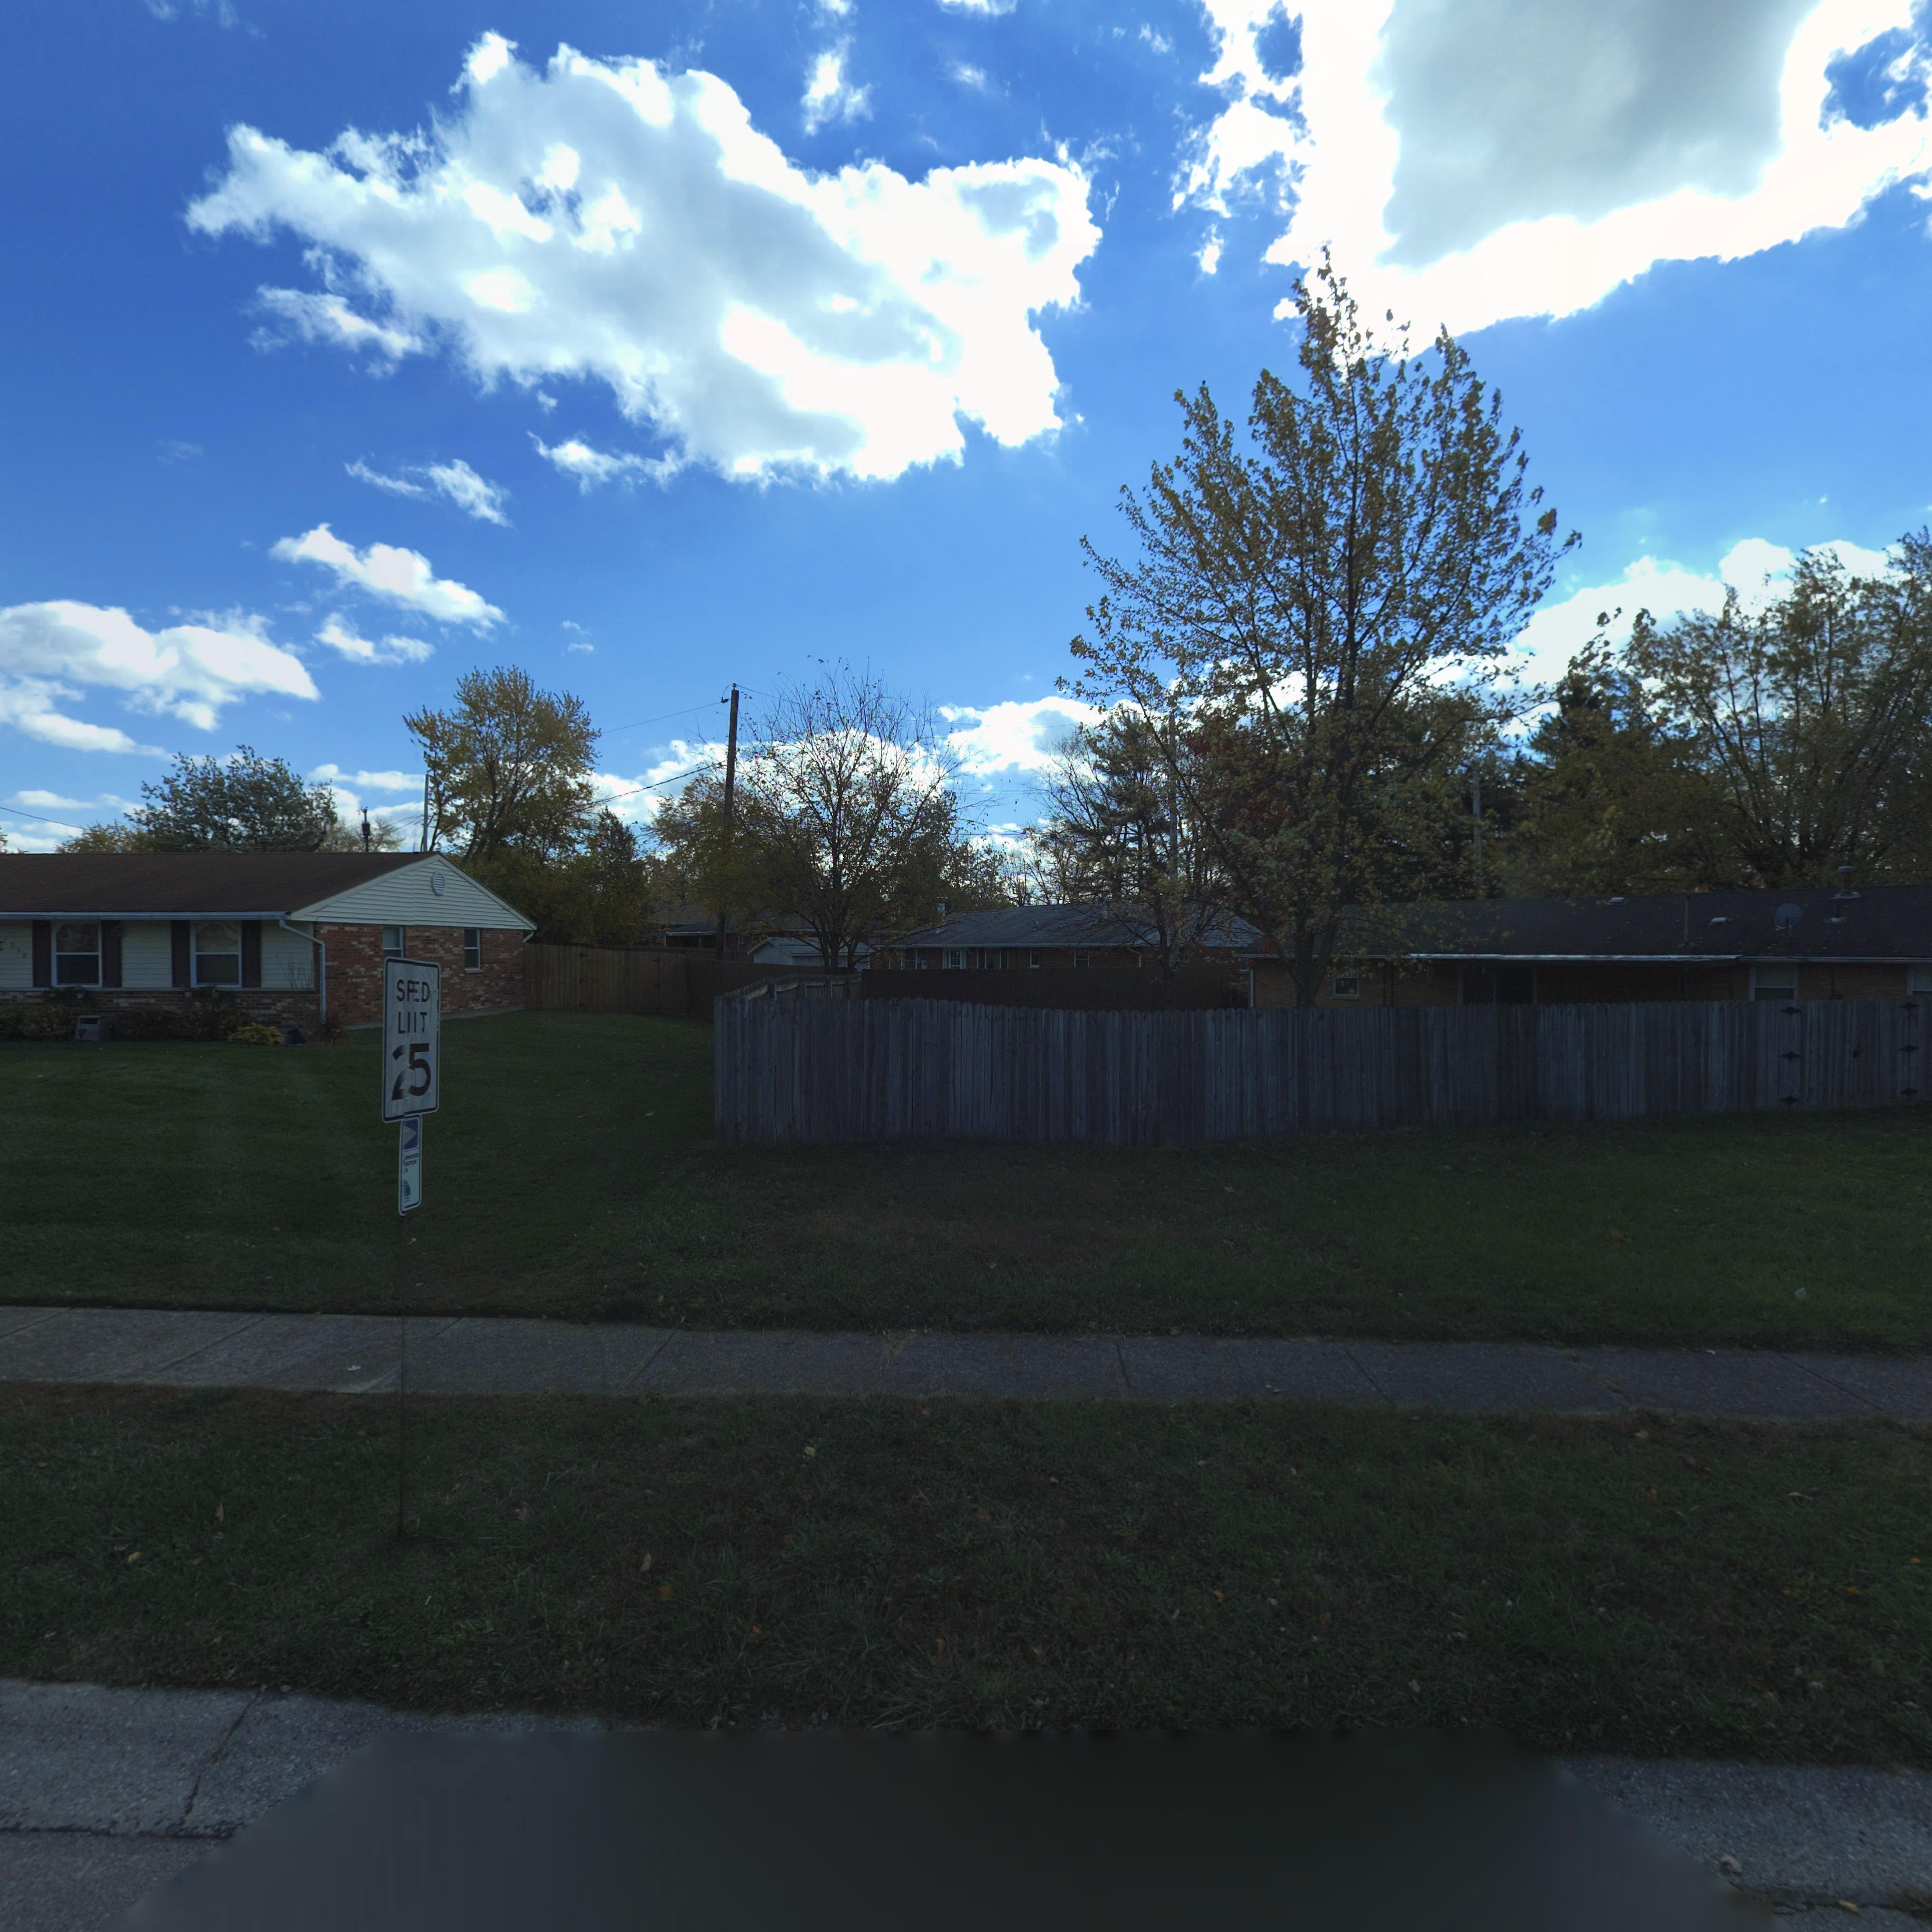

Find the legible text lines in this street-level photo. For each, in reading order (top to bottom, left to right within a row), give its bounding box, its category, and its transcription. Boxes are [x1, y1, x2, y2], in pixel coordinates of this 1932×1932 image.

[3, 937, 27, 959] StreetNumber: 7350